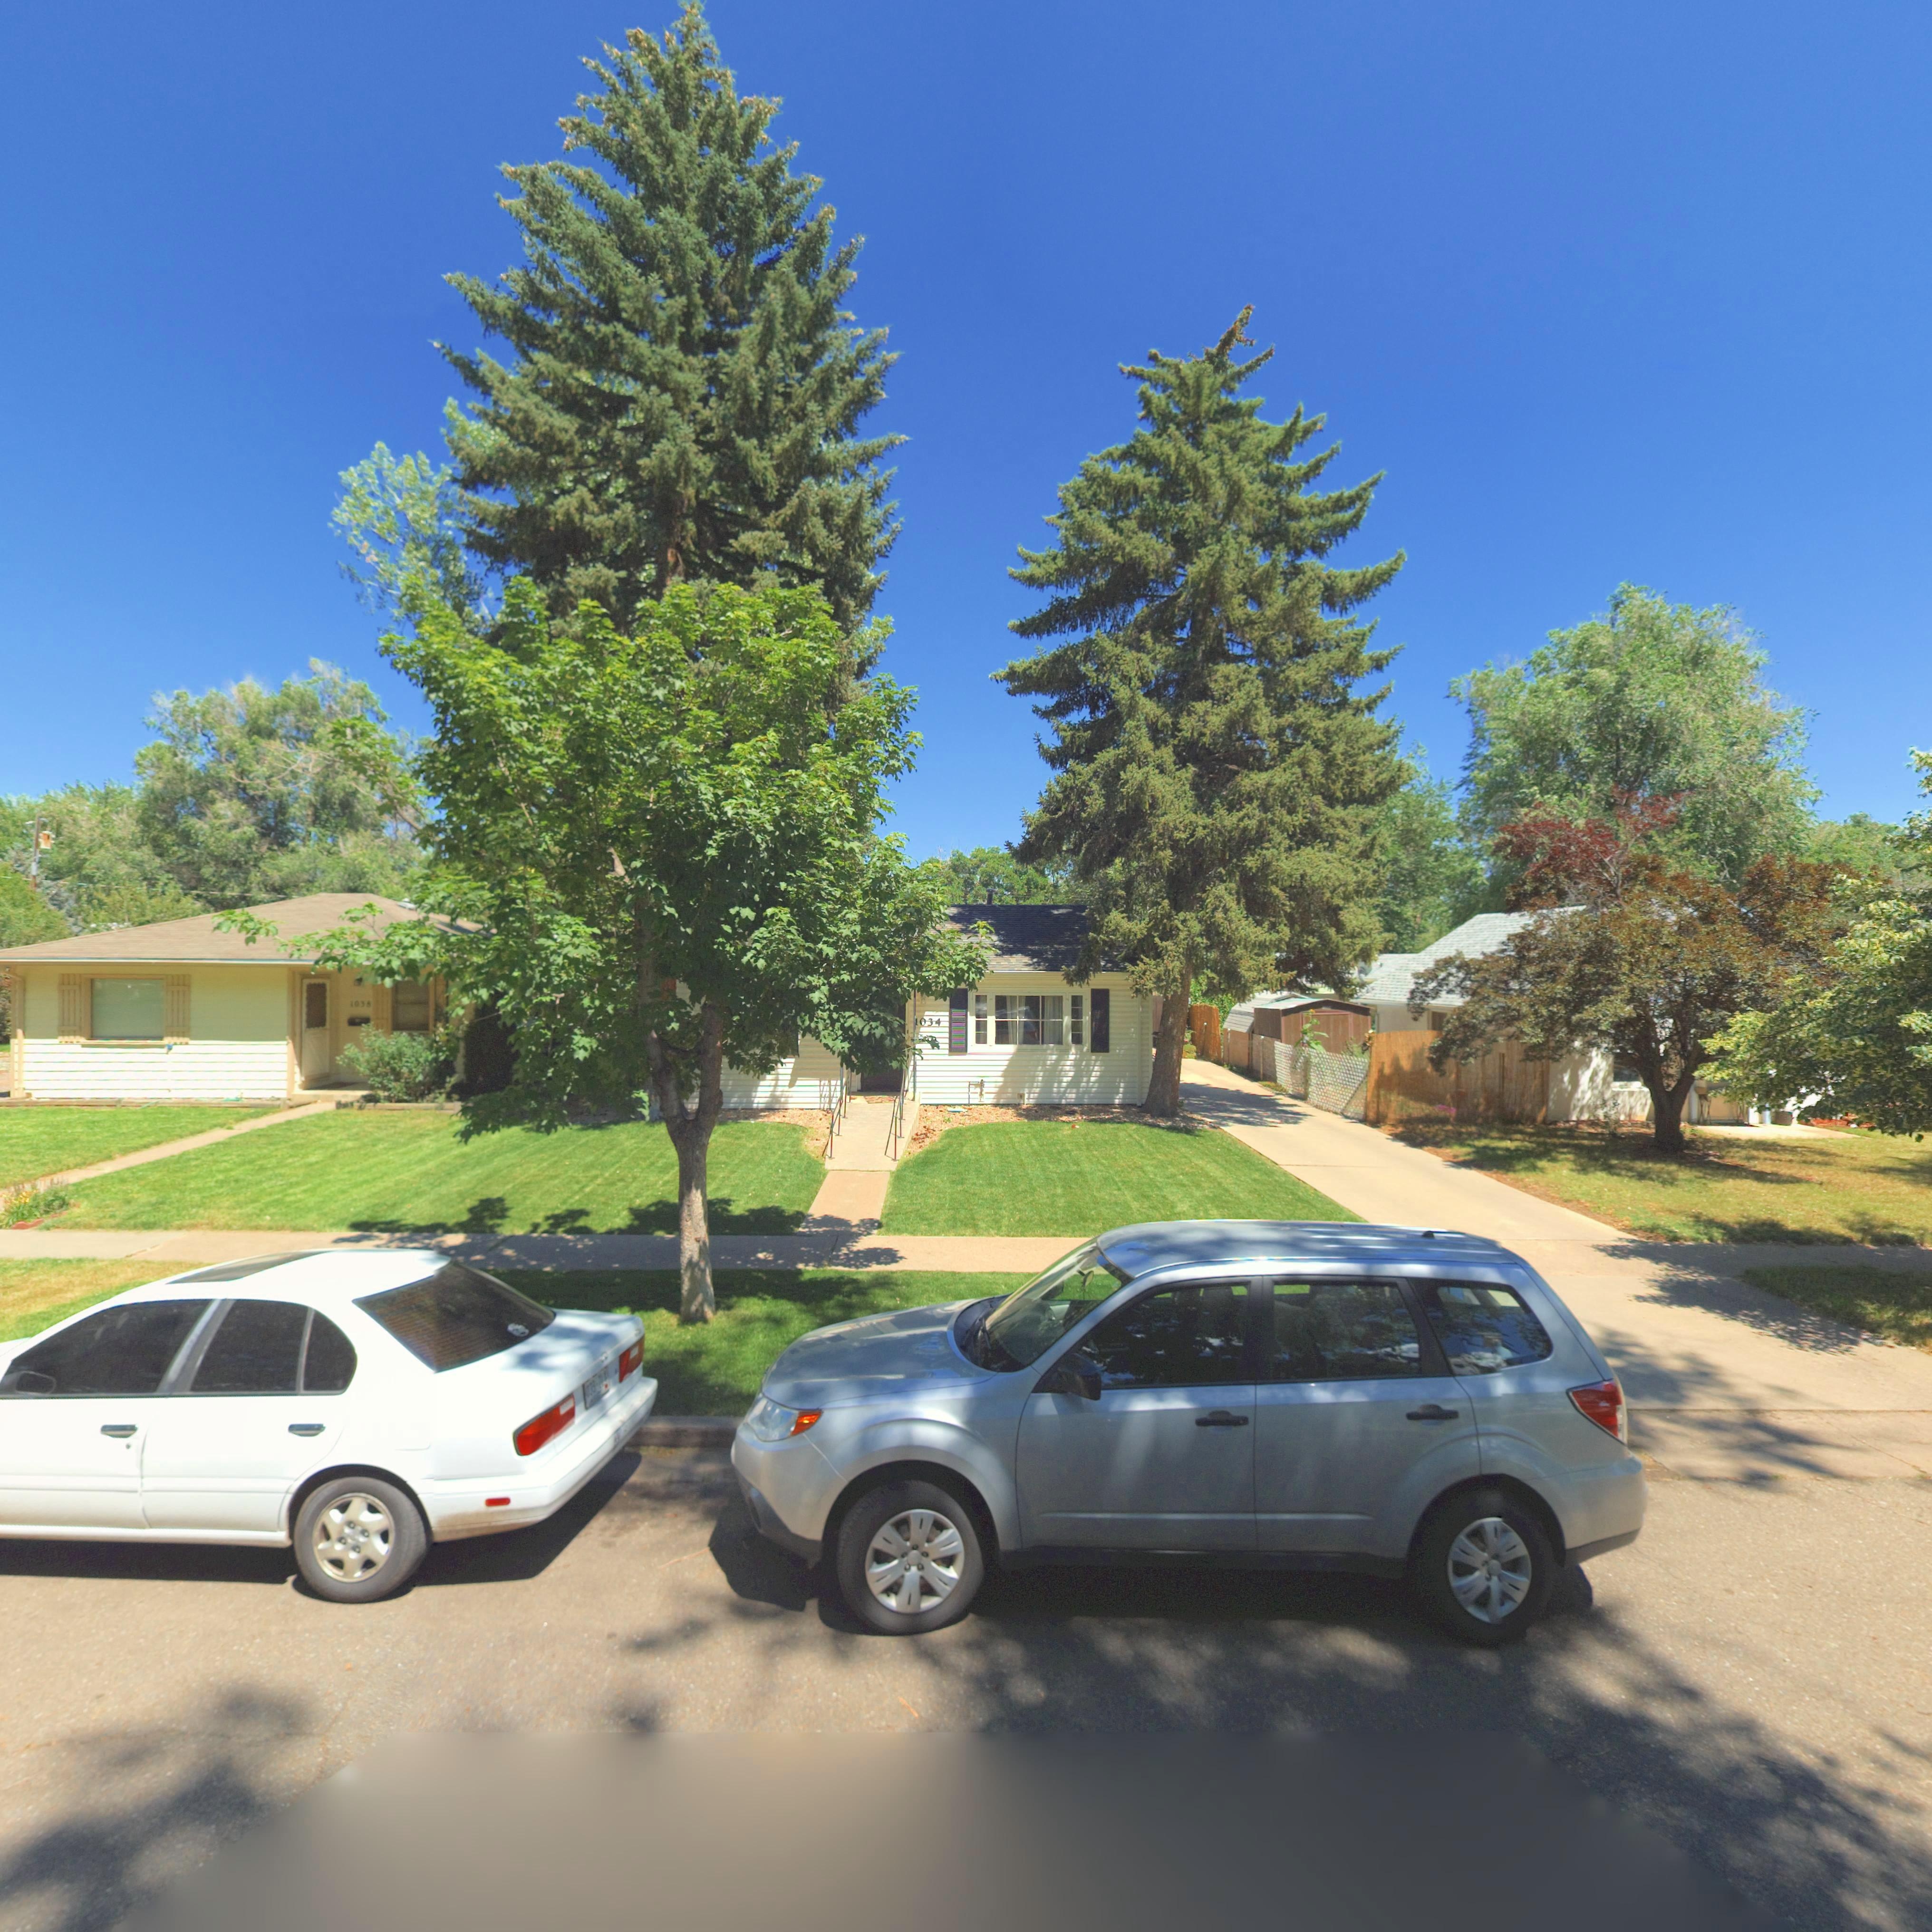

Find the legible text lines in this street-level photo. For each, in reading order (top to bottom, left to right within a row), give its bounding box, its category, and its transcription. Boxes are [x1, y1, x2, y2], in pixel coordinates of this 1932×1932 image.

[349, 1000, 371, 1007] StreetNumber: 1038
[914, 1017, 941, 1026] StreetNumber: *034